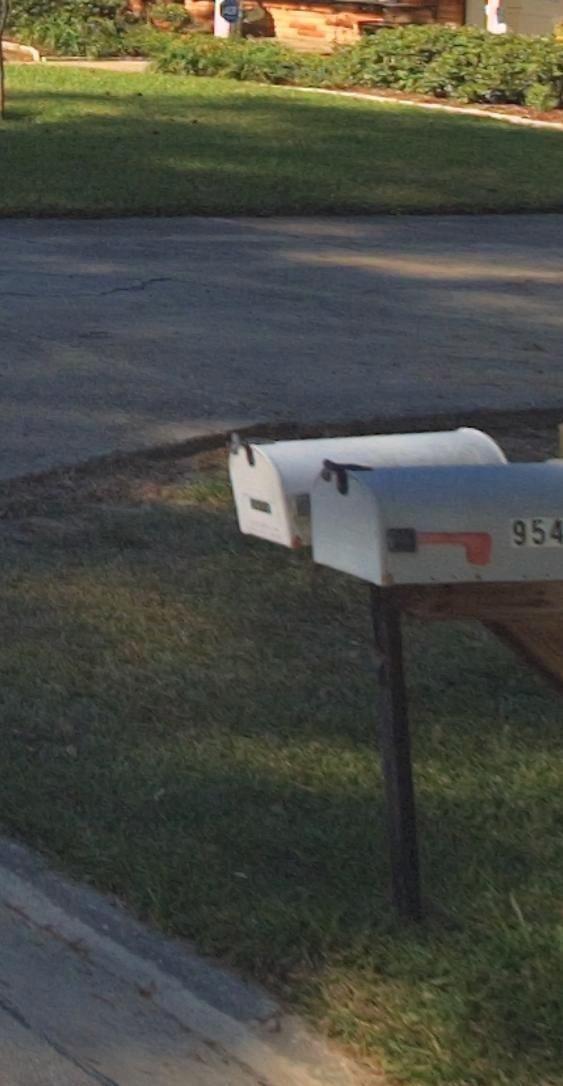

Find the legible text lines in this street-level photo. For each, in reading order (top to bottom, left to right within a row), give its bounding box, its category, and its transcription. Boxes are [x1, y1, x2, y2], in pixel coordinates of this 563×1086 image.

[512, 518, 563, 547] StreetNumber: 954